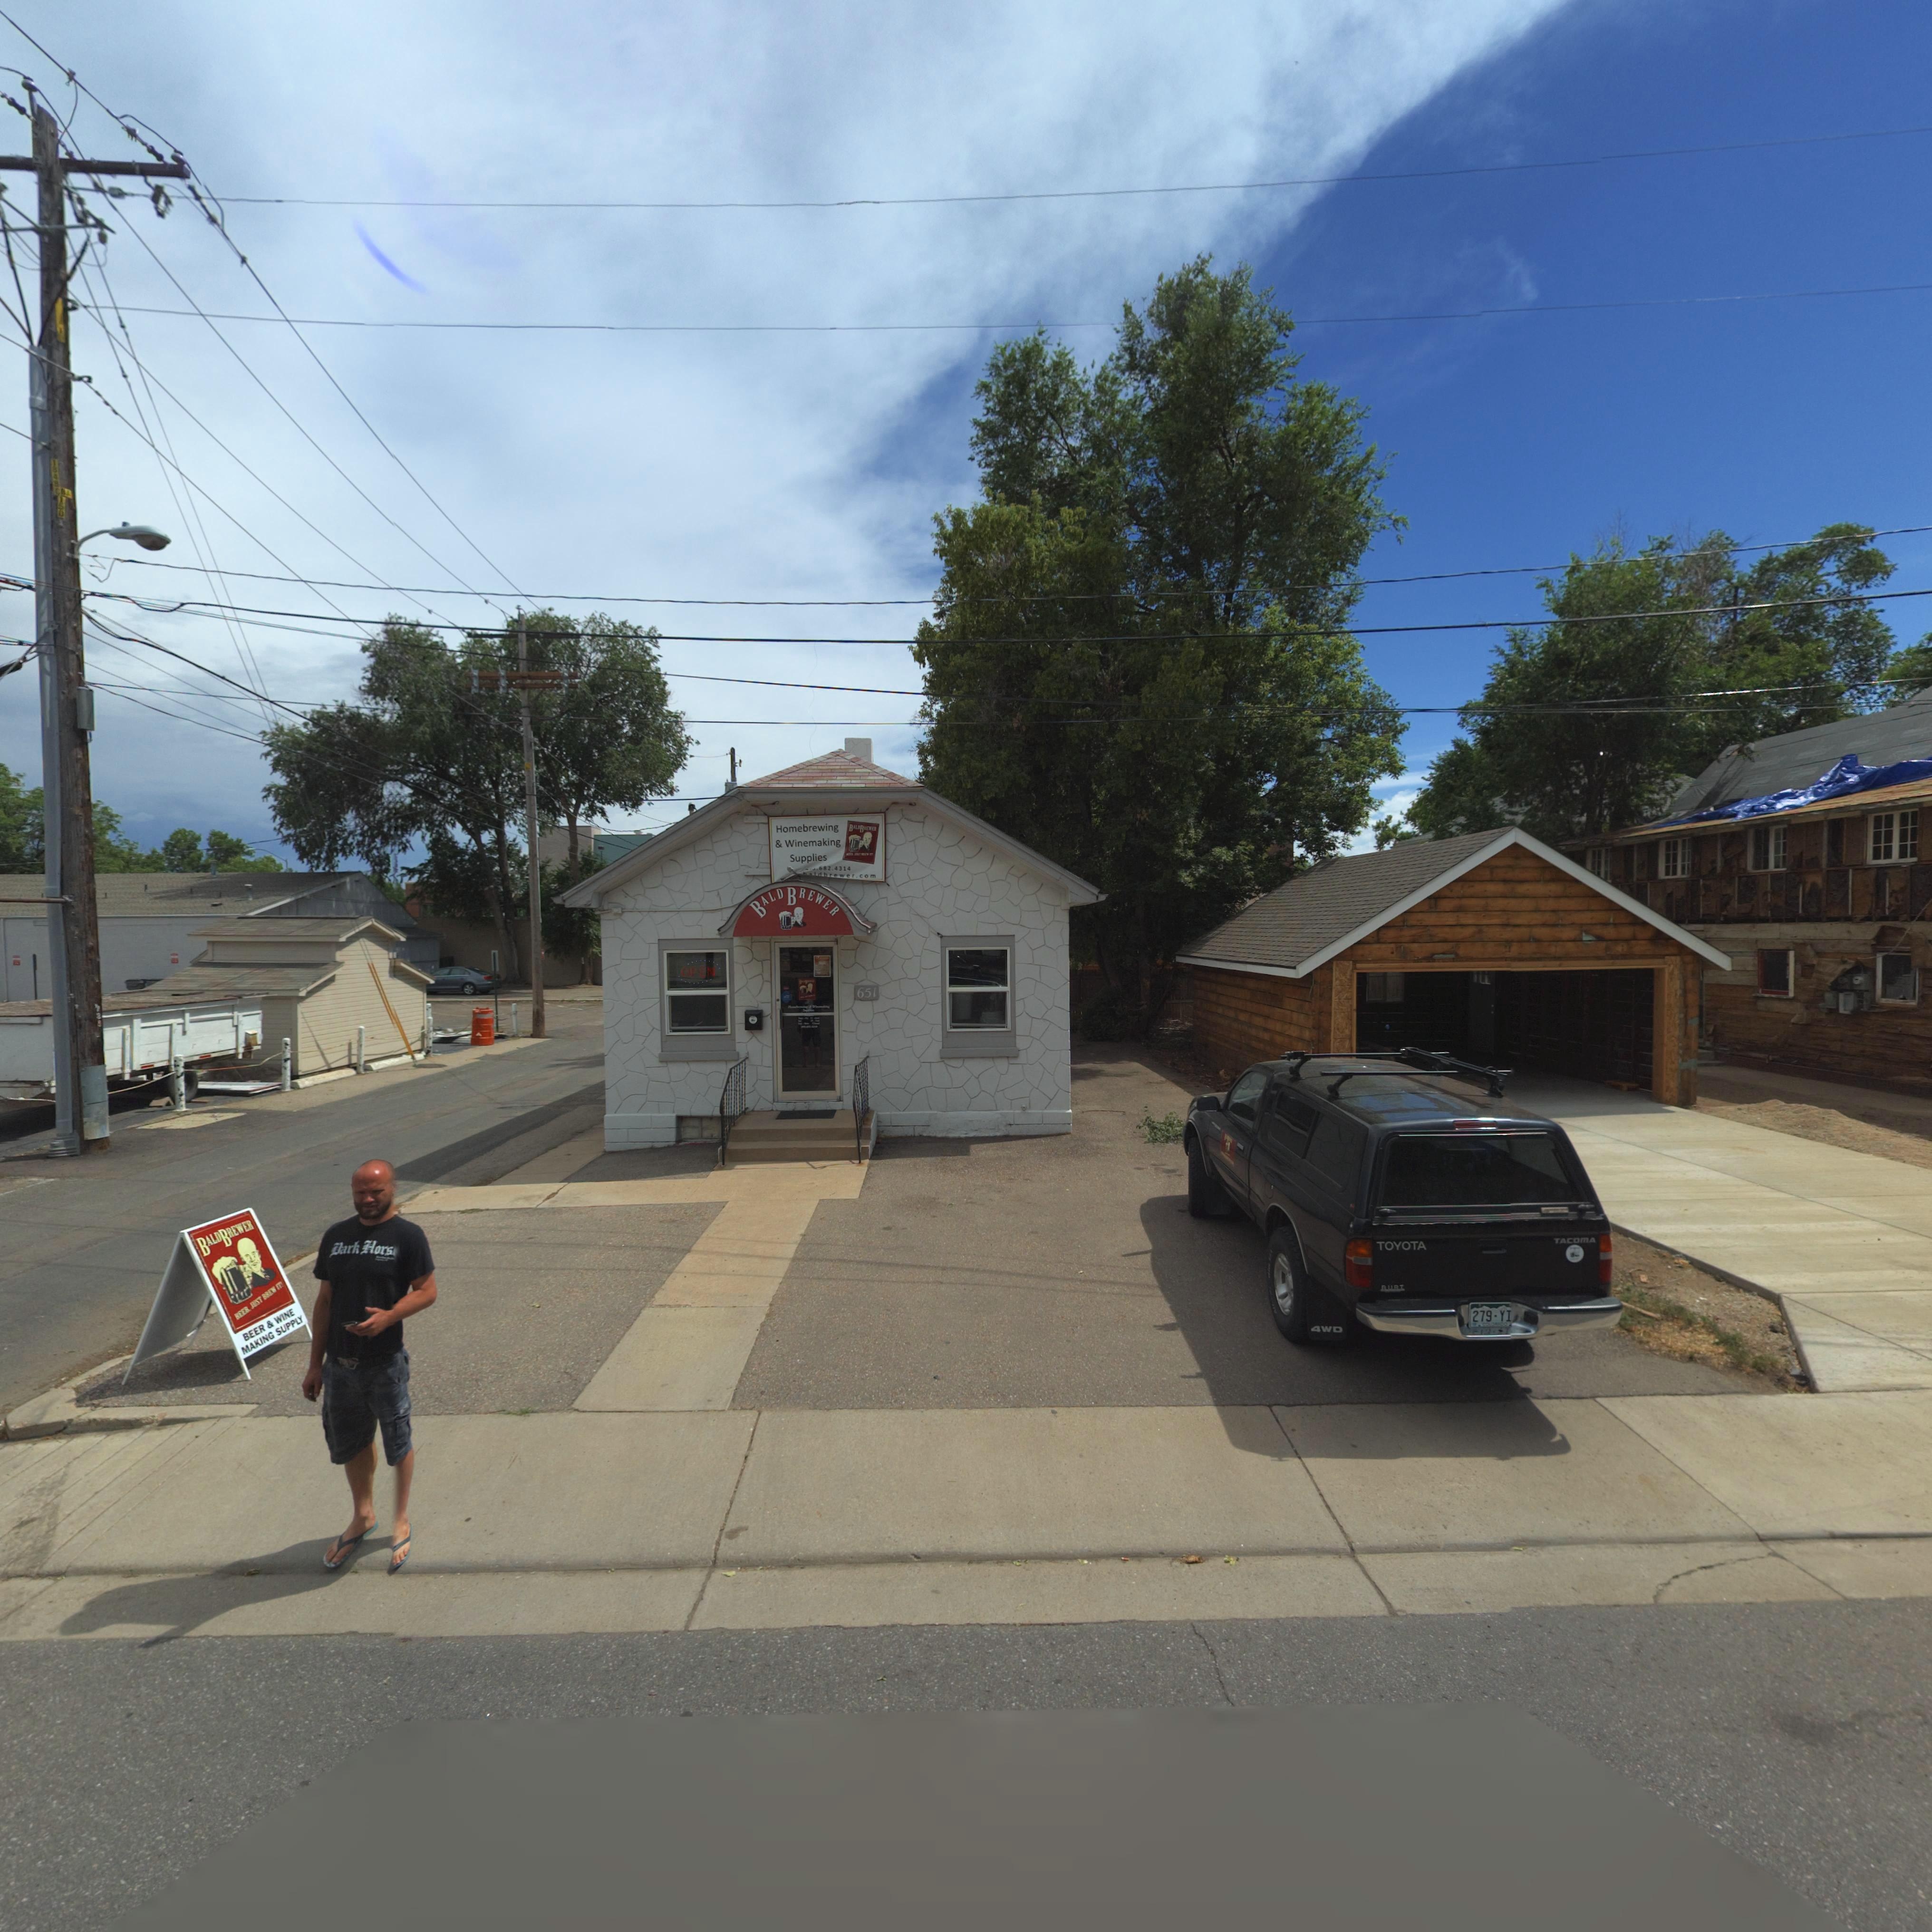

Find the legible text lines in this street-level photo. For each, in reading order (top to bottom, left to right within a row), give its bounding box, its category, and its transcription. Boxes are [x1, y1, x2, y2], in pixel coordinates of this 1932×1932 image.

[848, 823, 877, 833] BusinessName: BALDBREWER
[748, 886, 840, 919] BusinessName: BALD BREWER
[799, 979, 814, 984] BusinessName: B***B*****
[857, 986, 877, 998] StreetNumber: 651
[194, 1219, 254, 1257] BusinessName: BALDBREWER